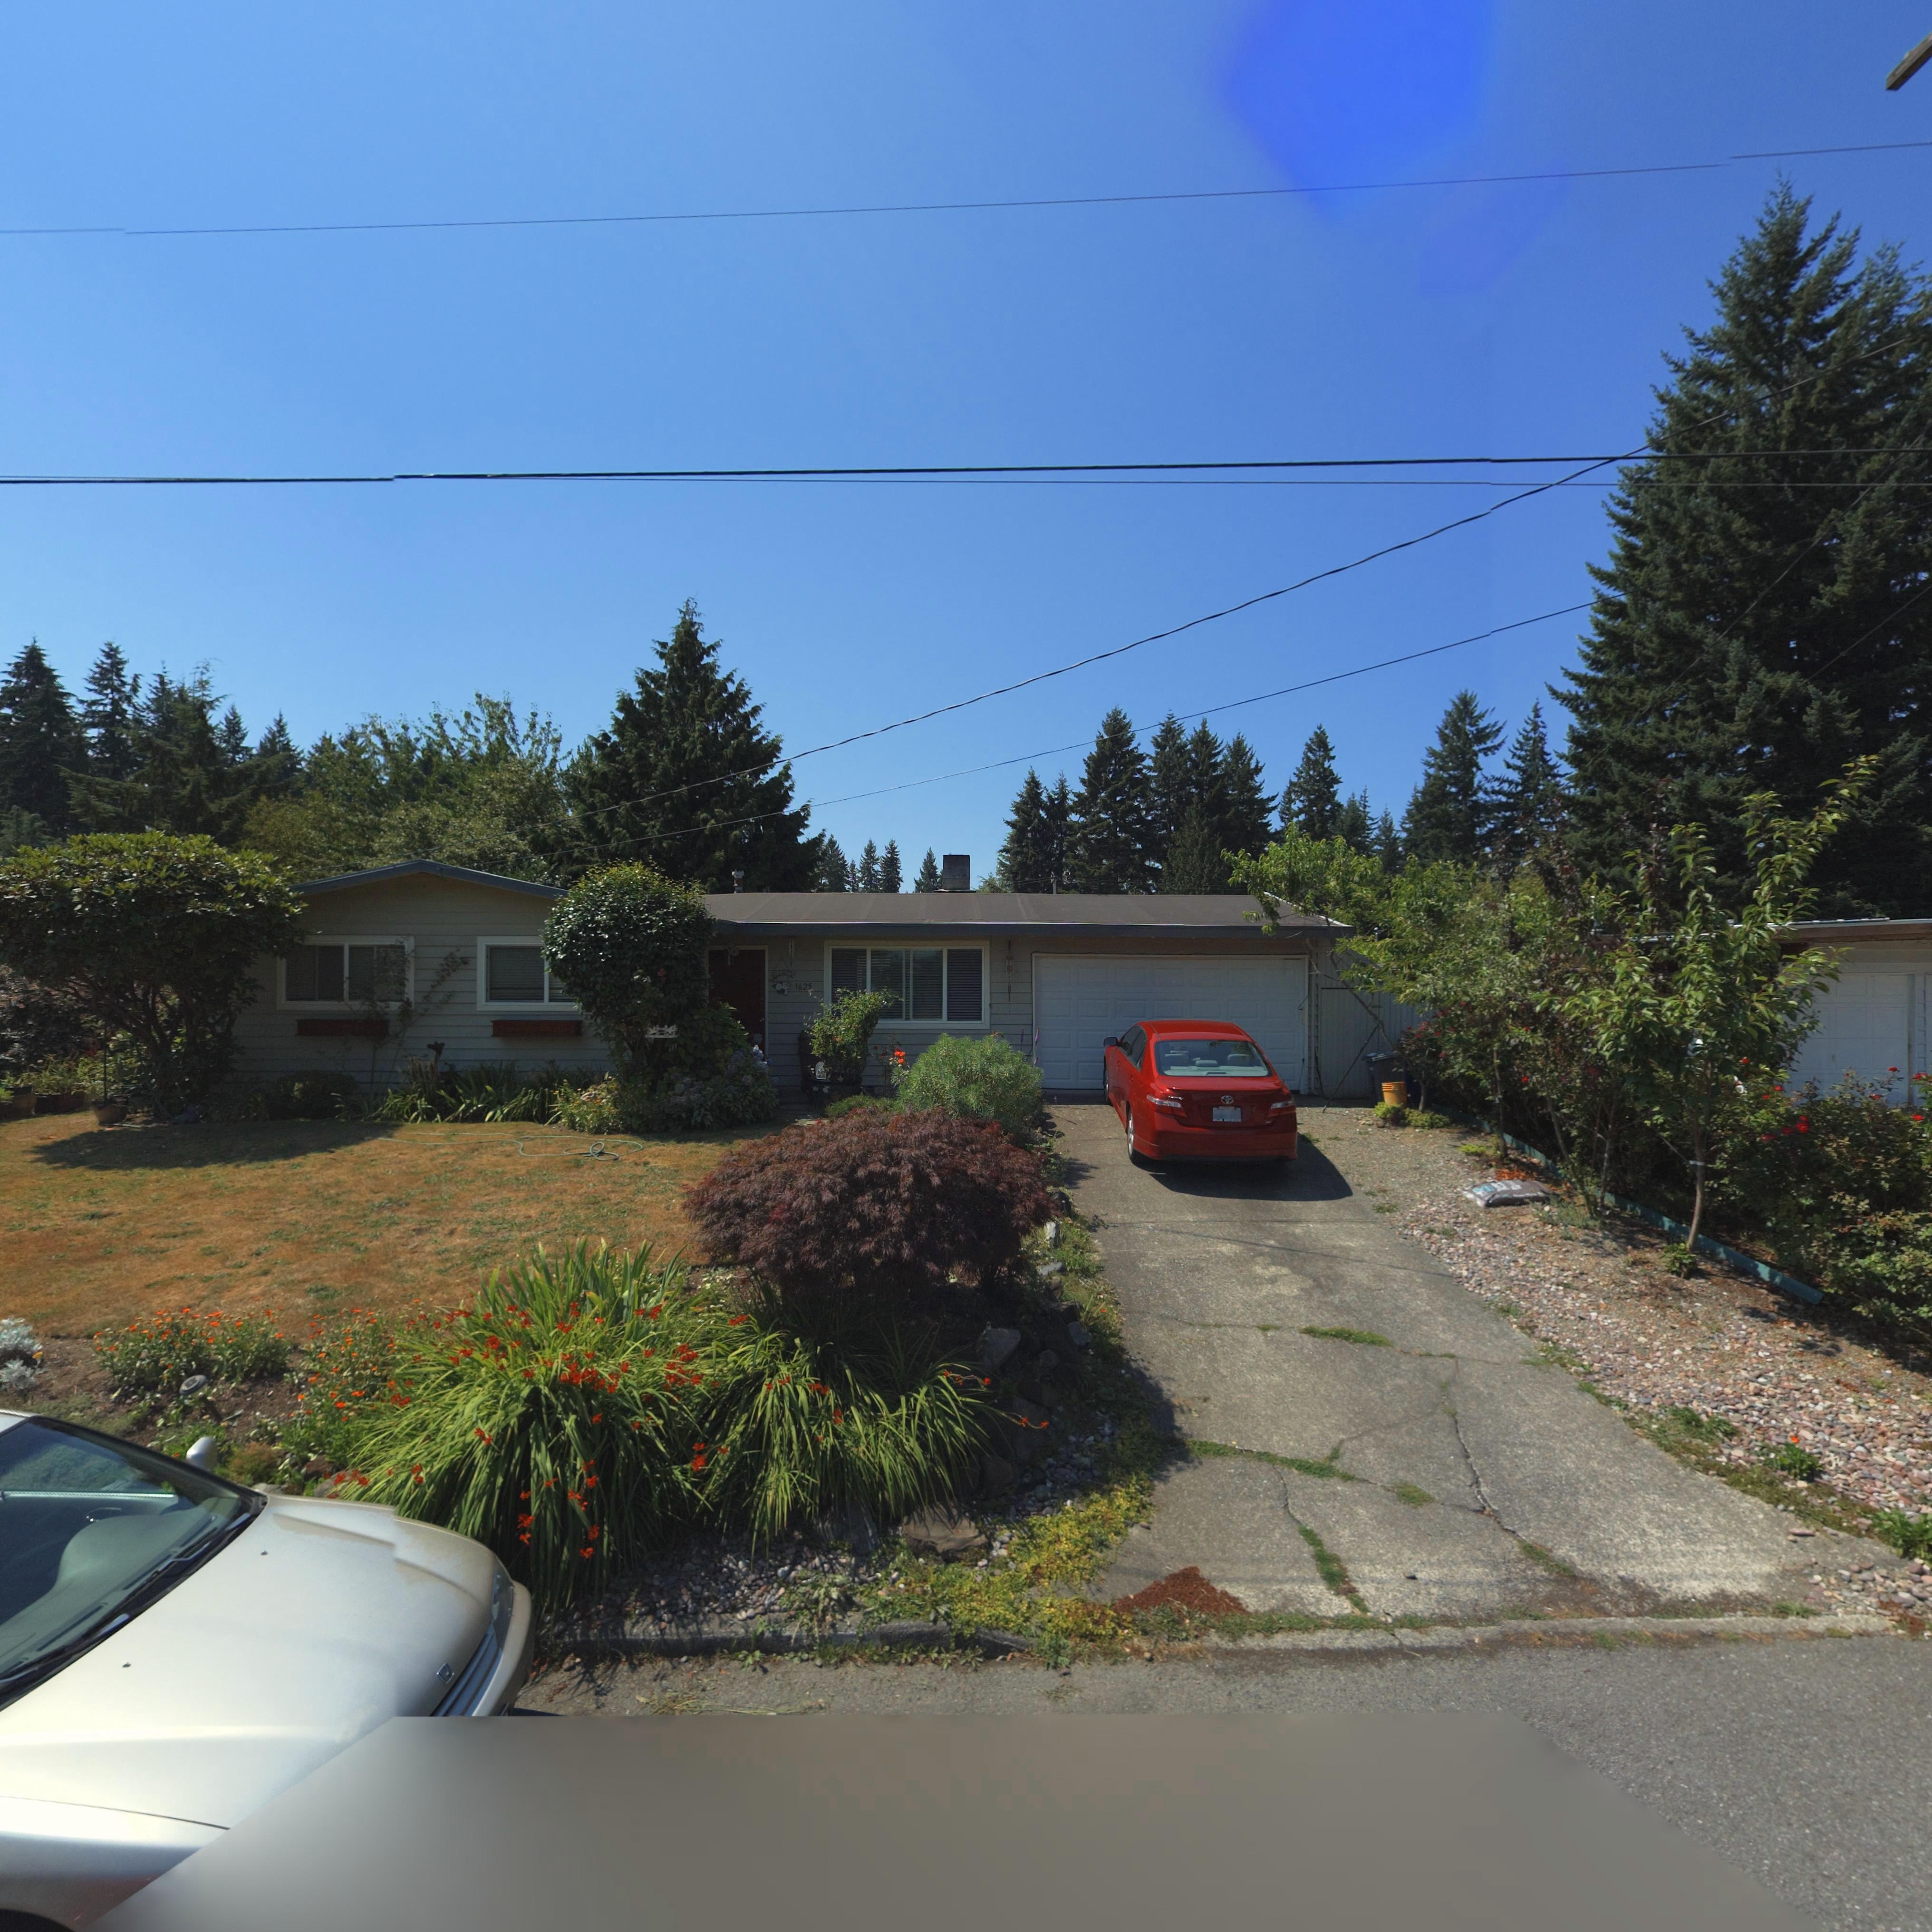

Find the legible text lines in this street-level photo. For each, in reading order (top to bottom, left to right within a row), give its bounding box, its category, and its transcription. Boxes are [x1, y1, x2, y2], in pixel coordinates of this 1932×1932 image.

[795, 982, 812, 990] StreetNumber: 1625